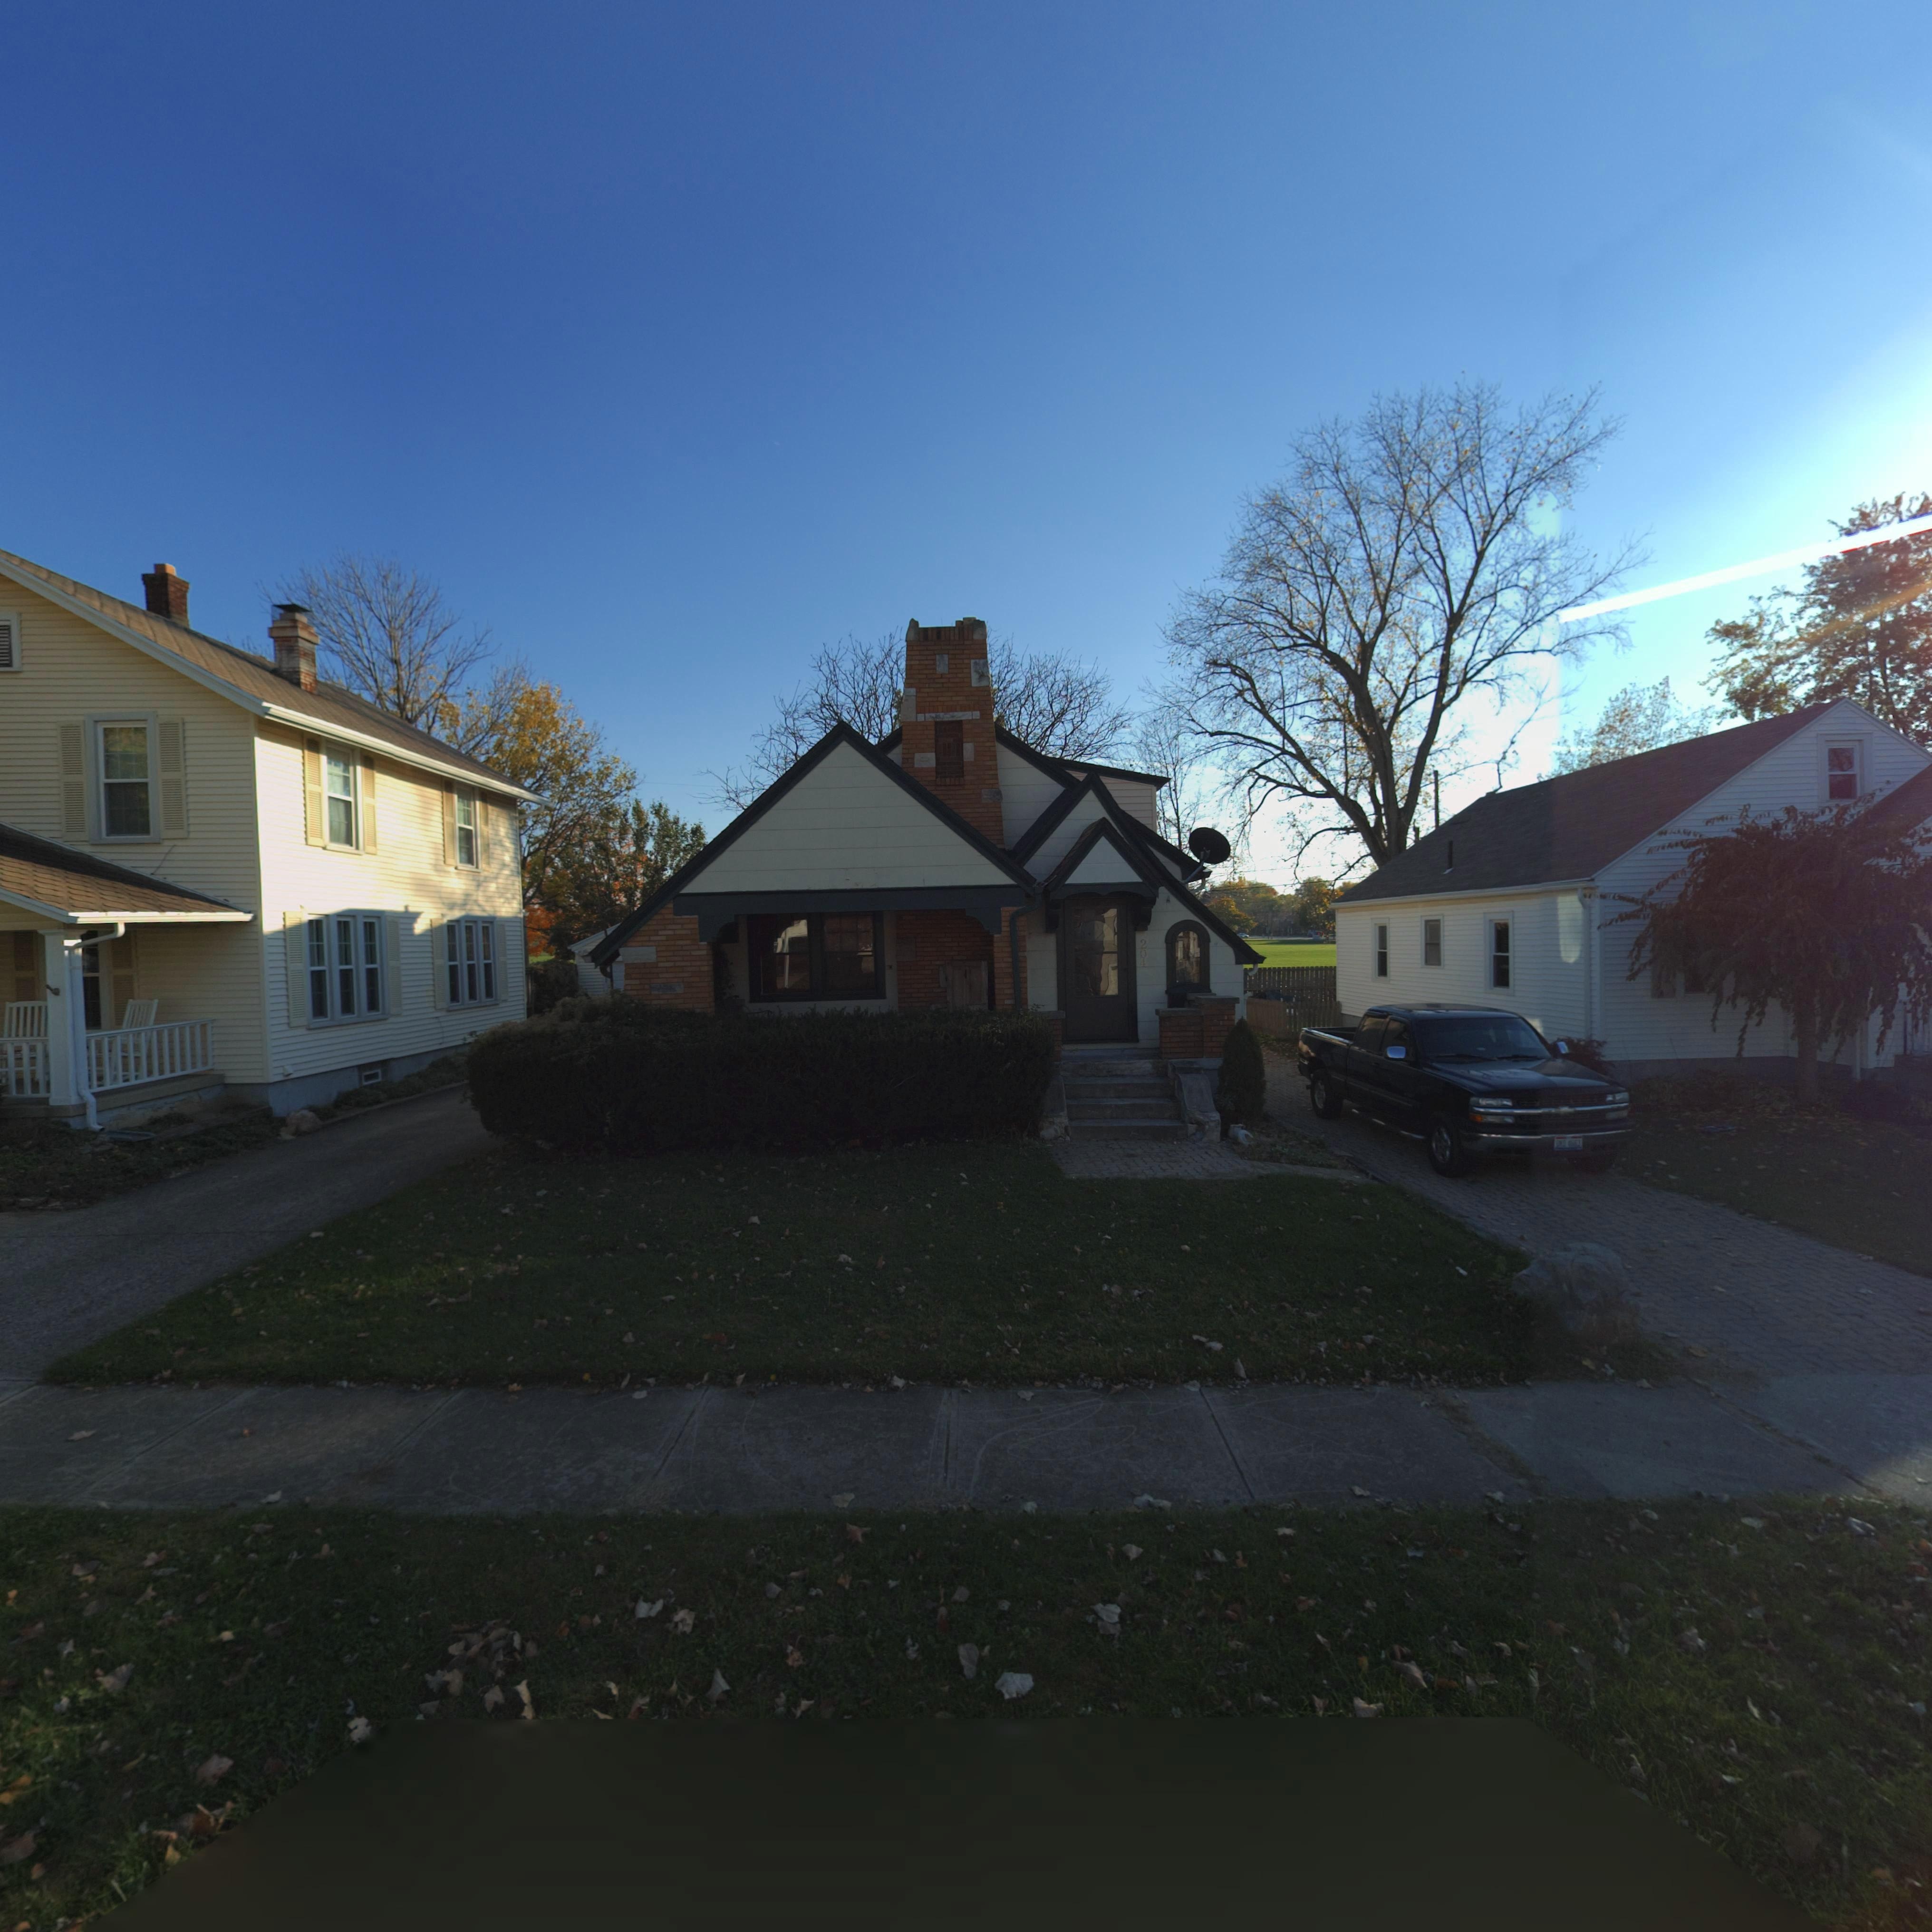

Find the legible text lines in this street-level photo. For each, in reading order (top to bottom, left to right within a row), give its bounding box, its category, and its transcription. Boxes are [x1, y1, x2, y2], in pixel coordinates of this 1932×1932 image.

[1138, 937, 1149, 969] StreetNumber: 204